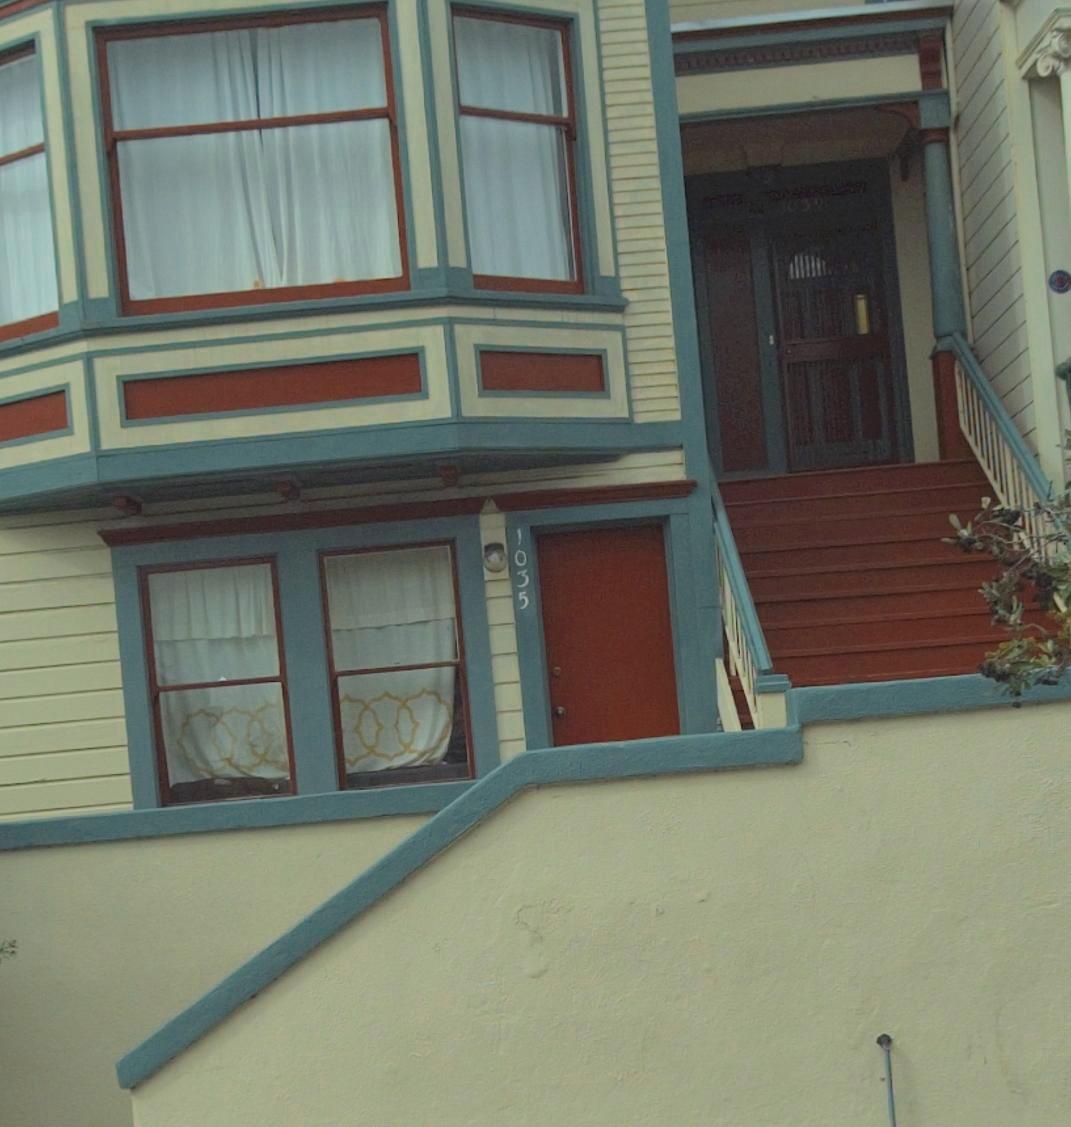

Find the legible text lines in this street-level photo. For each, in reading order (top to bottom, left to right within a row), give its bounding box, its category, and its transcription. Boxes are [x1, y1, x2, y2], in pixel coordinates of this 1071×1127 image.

[511, 526, 534, 613] StreetNumber: 1035